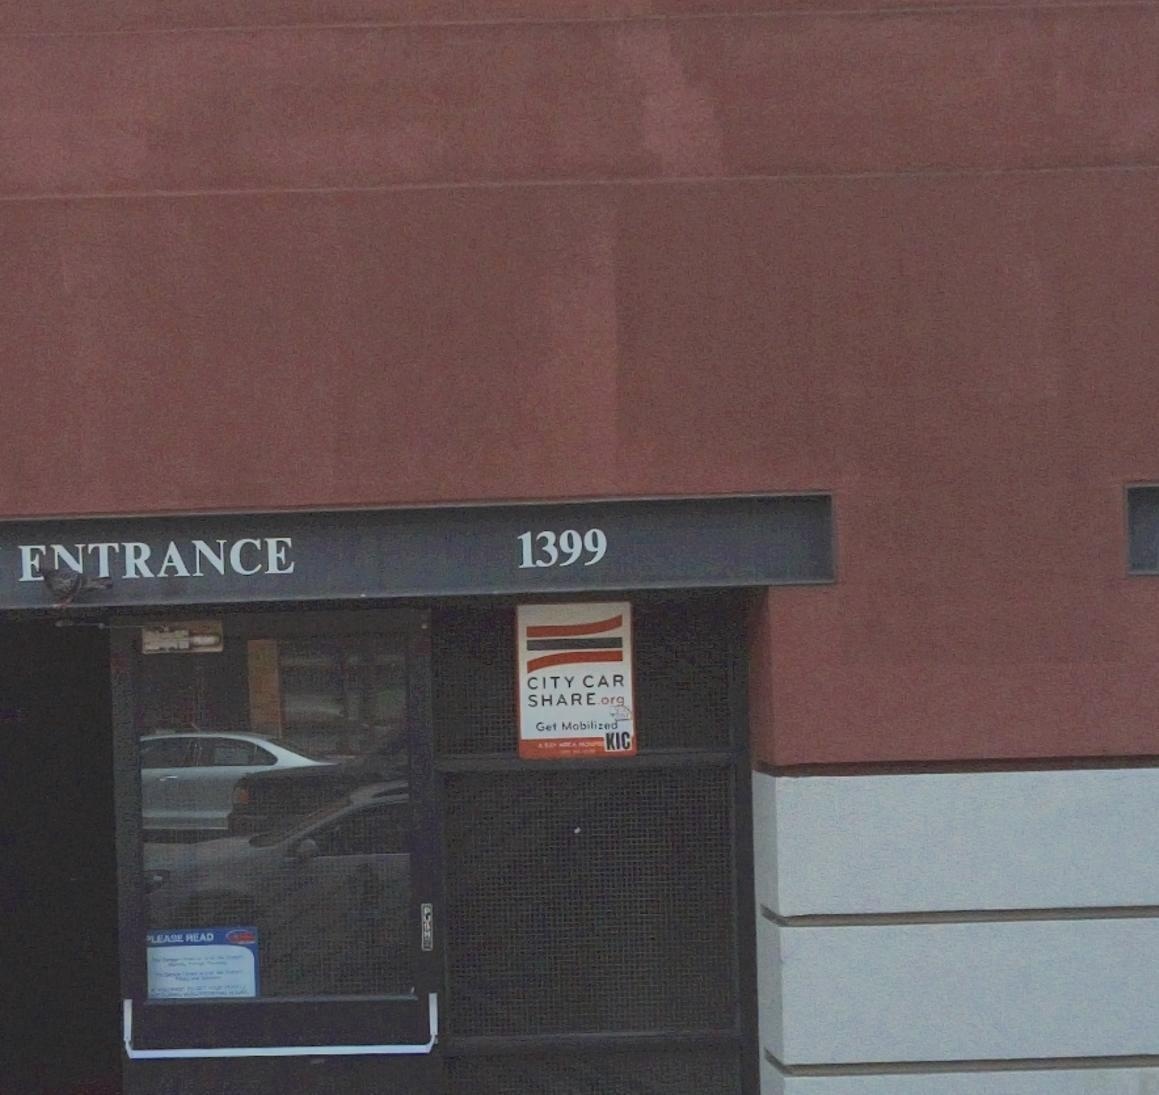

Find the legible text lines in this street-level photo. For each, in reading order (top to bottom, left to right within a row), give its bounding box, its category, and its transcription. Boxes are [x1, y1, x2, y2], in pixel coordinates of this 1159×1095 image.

[16, 535, 297, 583] None: E*TRANCE
[514, 527, 610, 570] StreetNumber: 1399
[527, 673, 625, 690] None: CITY CAR
[527, 691, 625, 707] None: SHARE.org
[534, 717, 619, 733] None: Get Mobilized
[605, 730, 631, 751] None: KIC
[422, 905, 431, 938] None: PUSH
[185, 932, 215, 943] None: READ